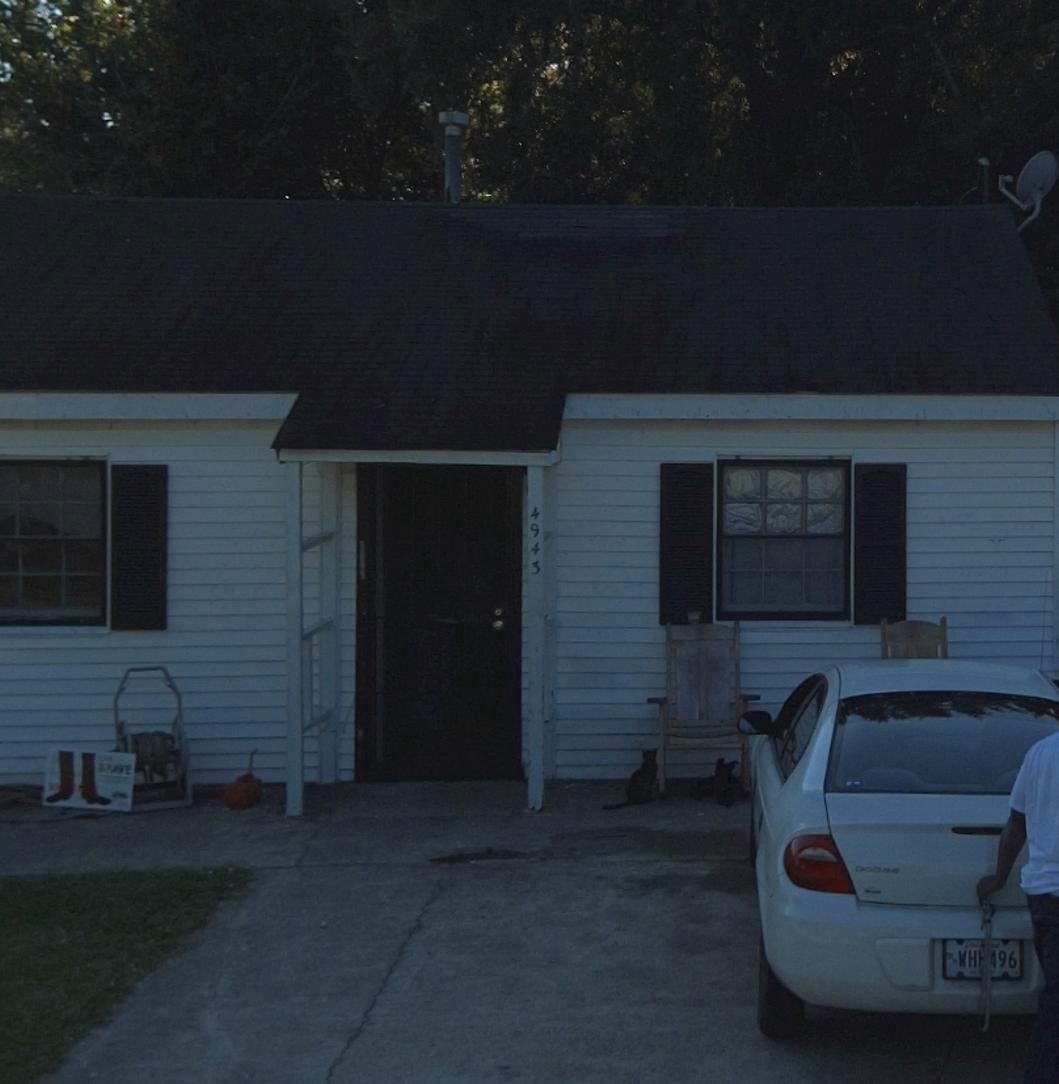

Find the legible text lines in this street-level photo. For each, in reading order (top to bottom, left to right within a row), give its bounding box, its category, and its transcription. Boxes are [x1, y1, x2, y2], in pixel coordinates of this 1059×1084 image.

[529, 506, 541, 575] StreetNumber: 4943
[958, 949, 1017, 969] None: WH*496